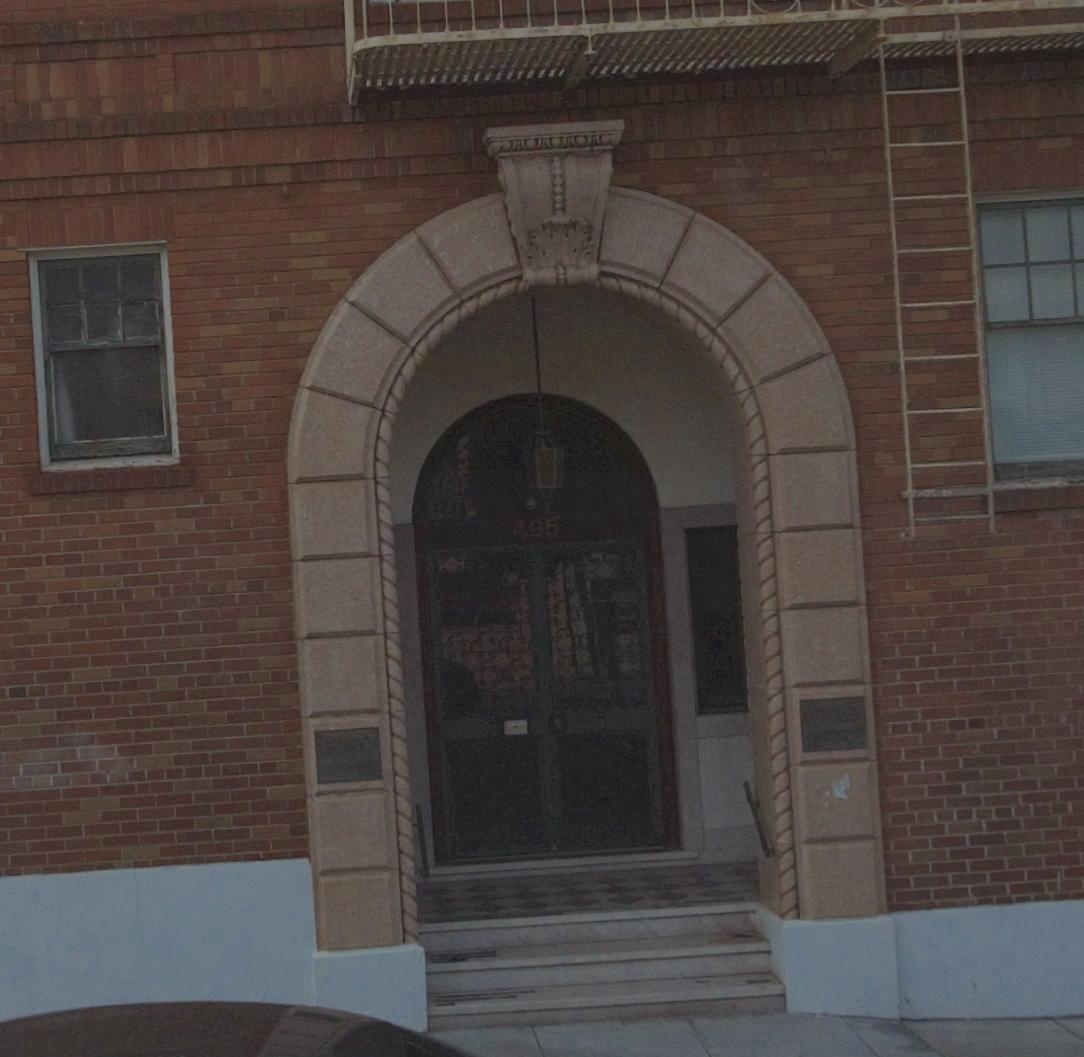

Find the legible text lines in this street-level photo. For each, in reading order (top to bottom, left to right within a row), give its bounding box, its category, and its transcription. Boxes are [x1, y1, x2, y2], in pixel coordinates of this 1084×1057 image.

[511, 514, 561, 540] StreetNumber: 495